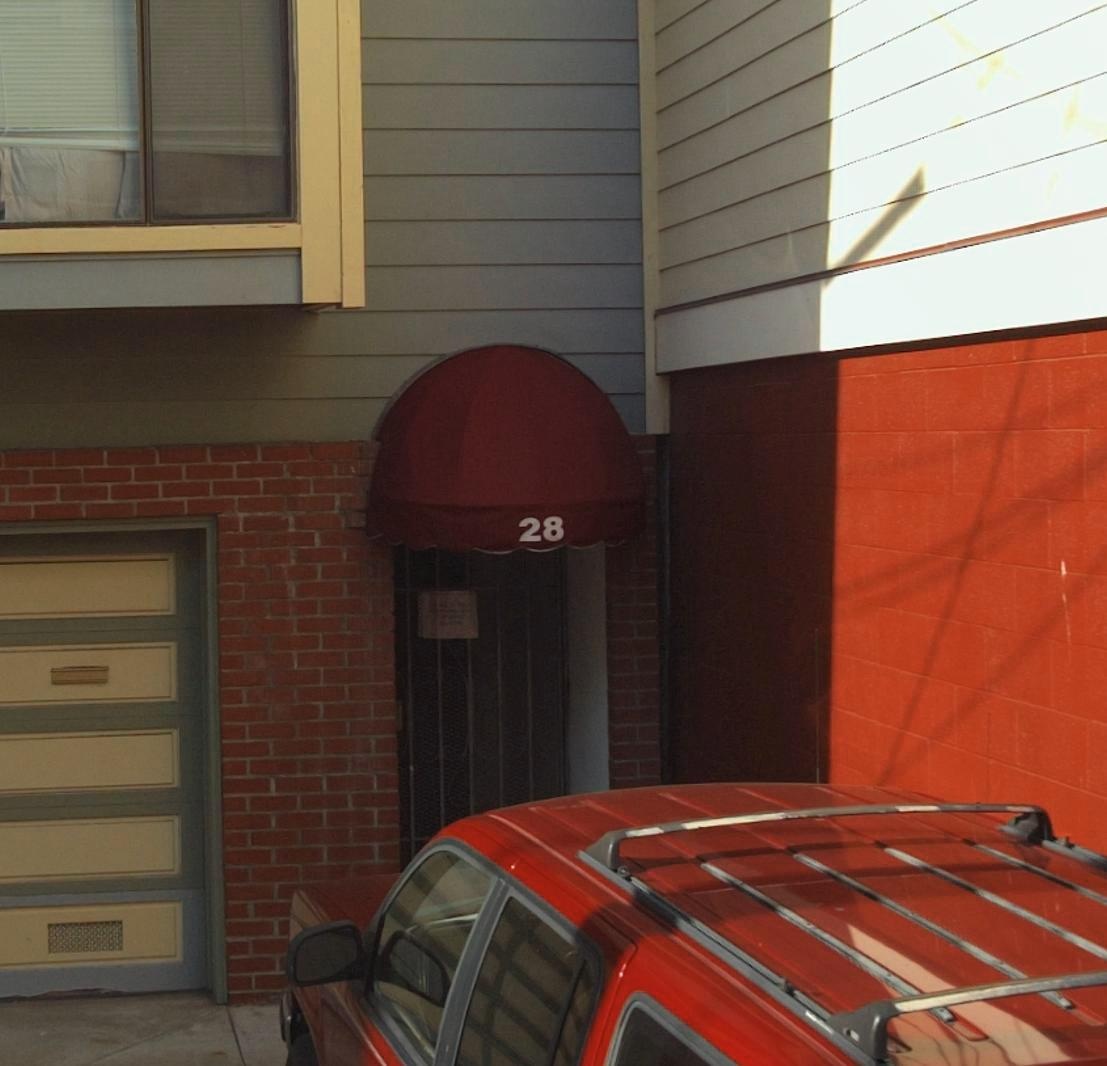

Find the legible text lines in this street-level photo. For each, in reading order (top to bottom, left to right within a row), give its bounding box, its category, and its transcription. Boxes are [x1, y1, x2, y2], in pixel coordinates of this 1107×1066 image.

[516, 514, 566, 544] StreetNumber: 28